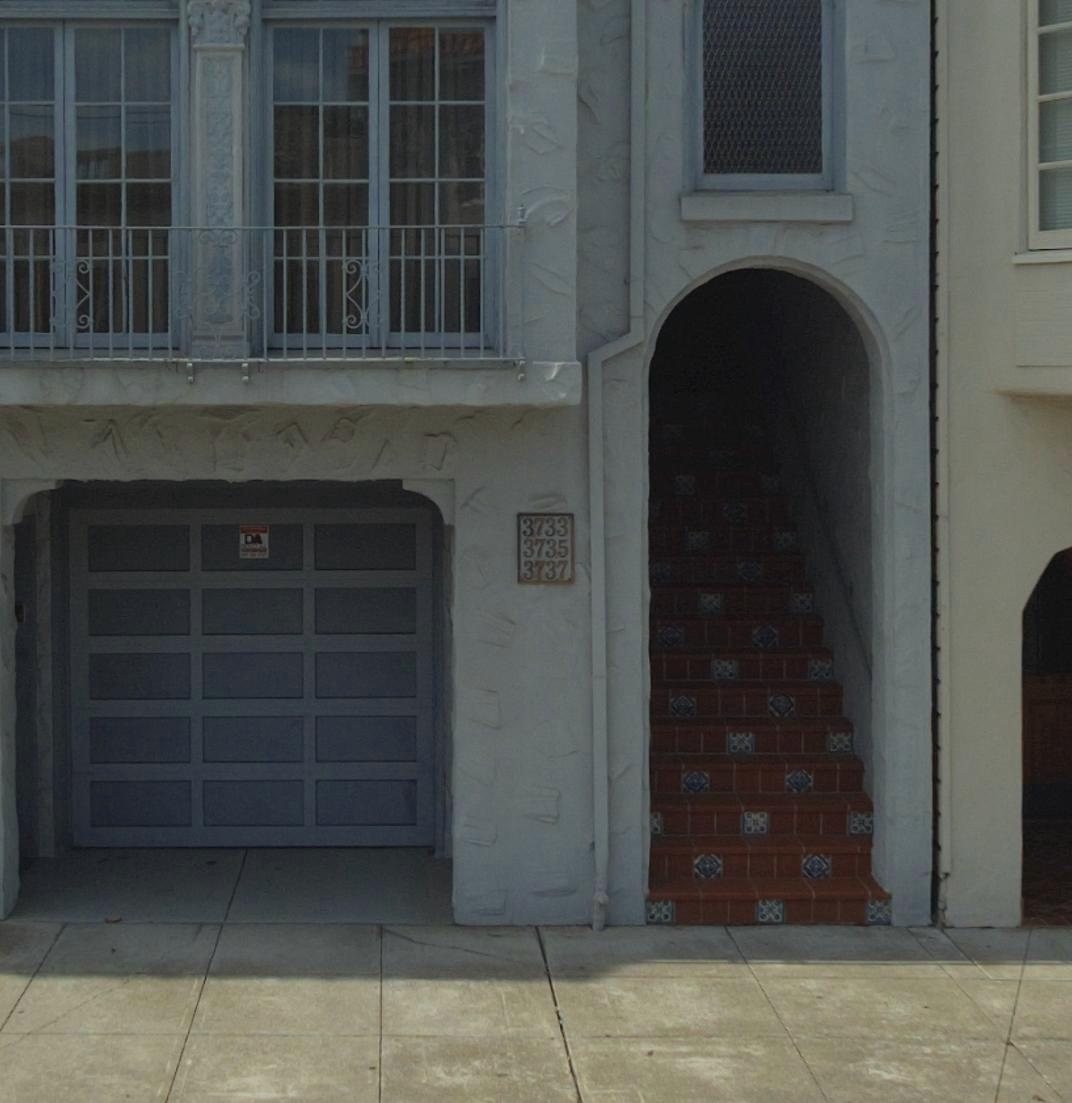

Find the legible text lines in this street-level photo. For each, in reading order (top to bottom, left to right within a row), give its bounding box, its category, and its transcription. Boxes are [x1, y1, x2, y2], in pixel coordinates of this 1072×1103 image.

[520, 515, 571, 539] StreetNumber: 3733
[520, 537, 572, 560] StreetNumber: 3735
[520, 558, 572, 583] StreetNumber: 3737